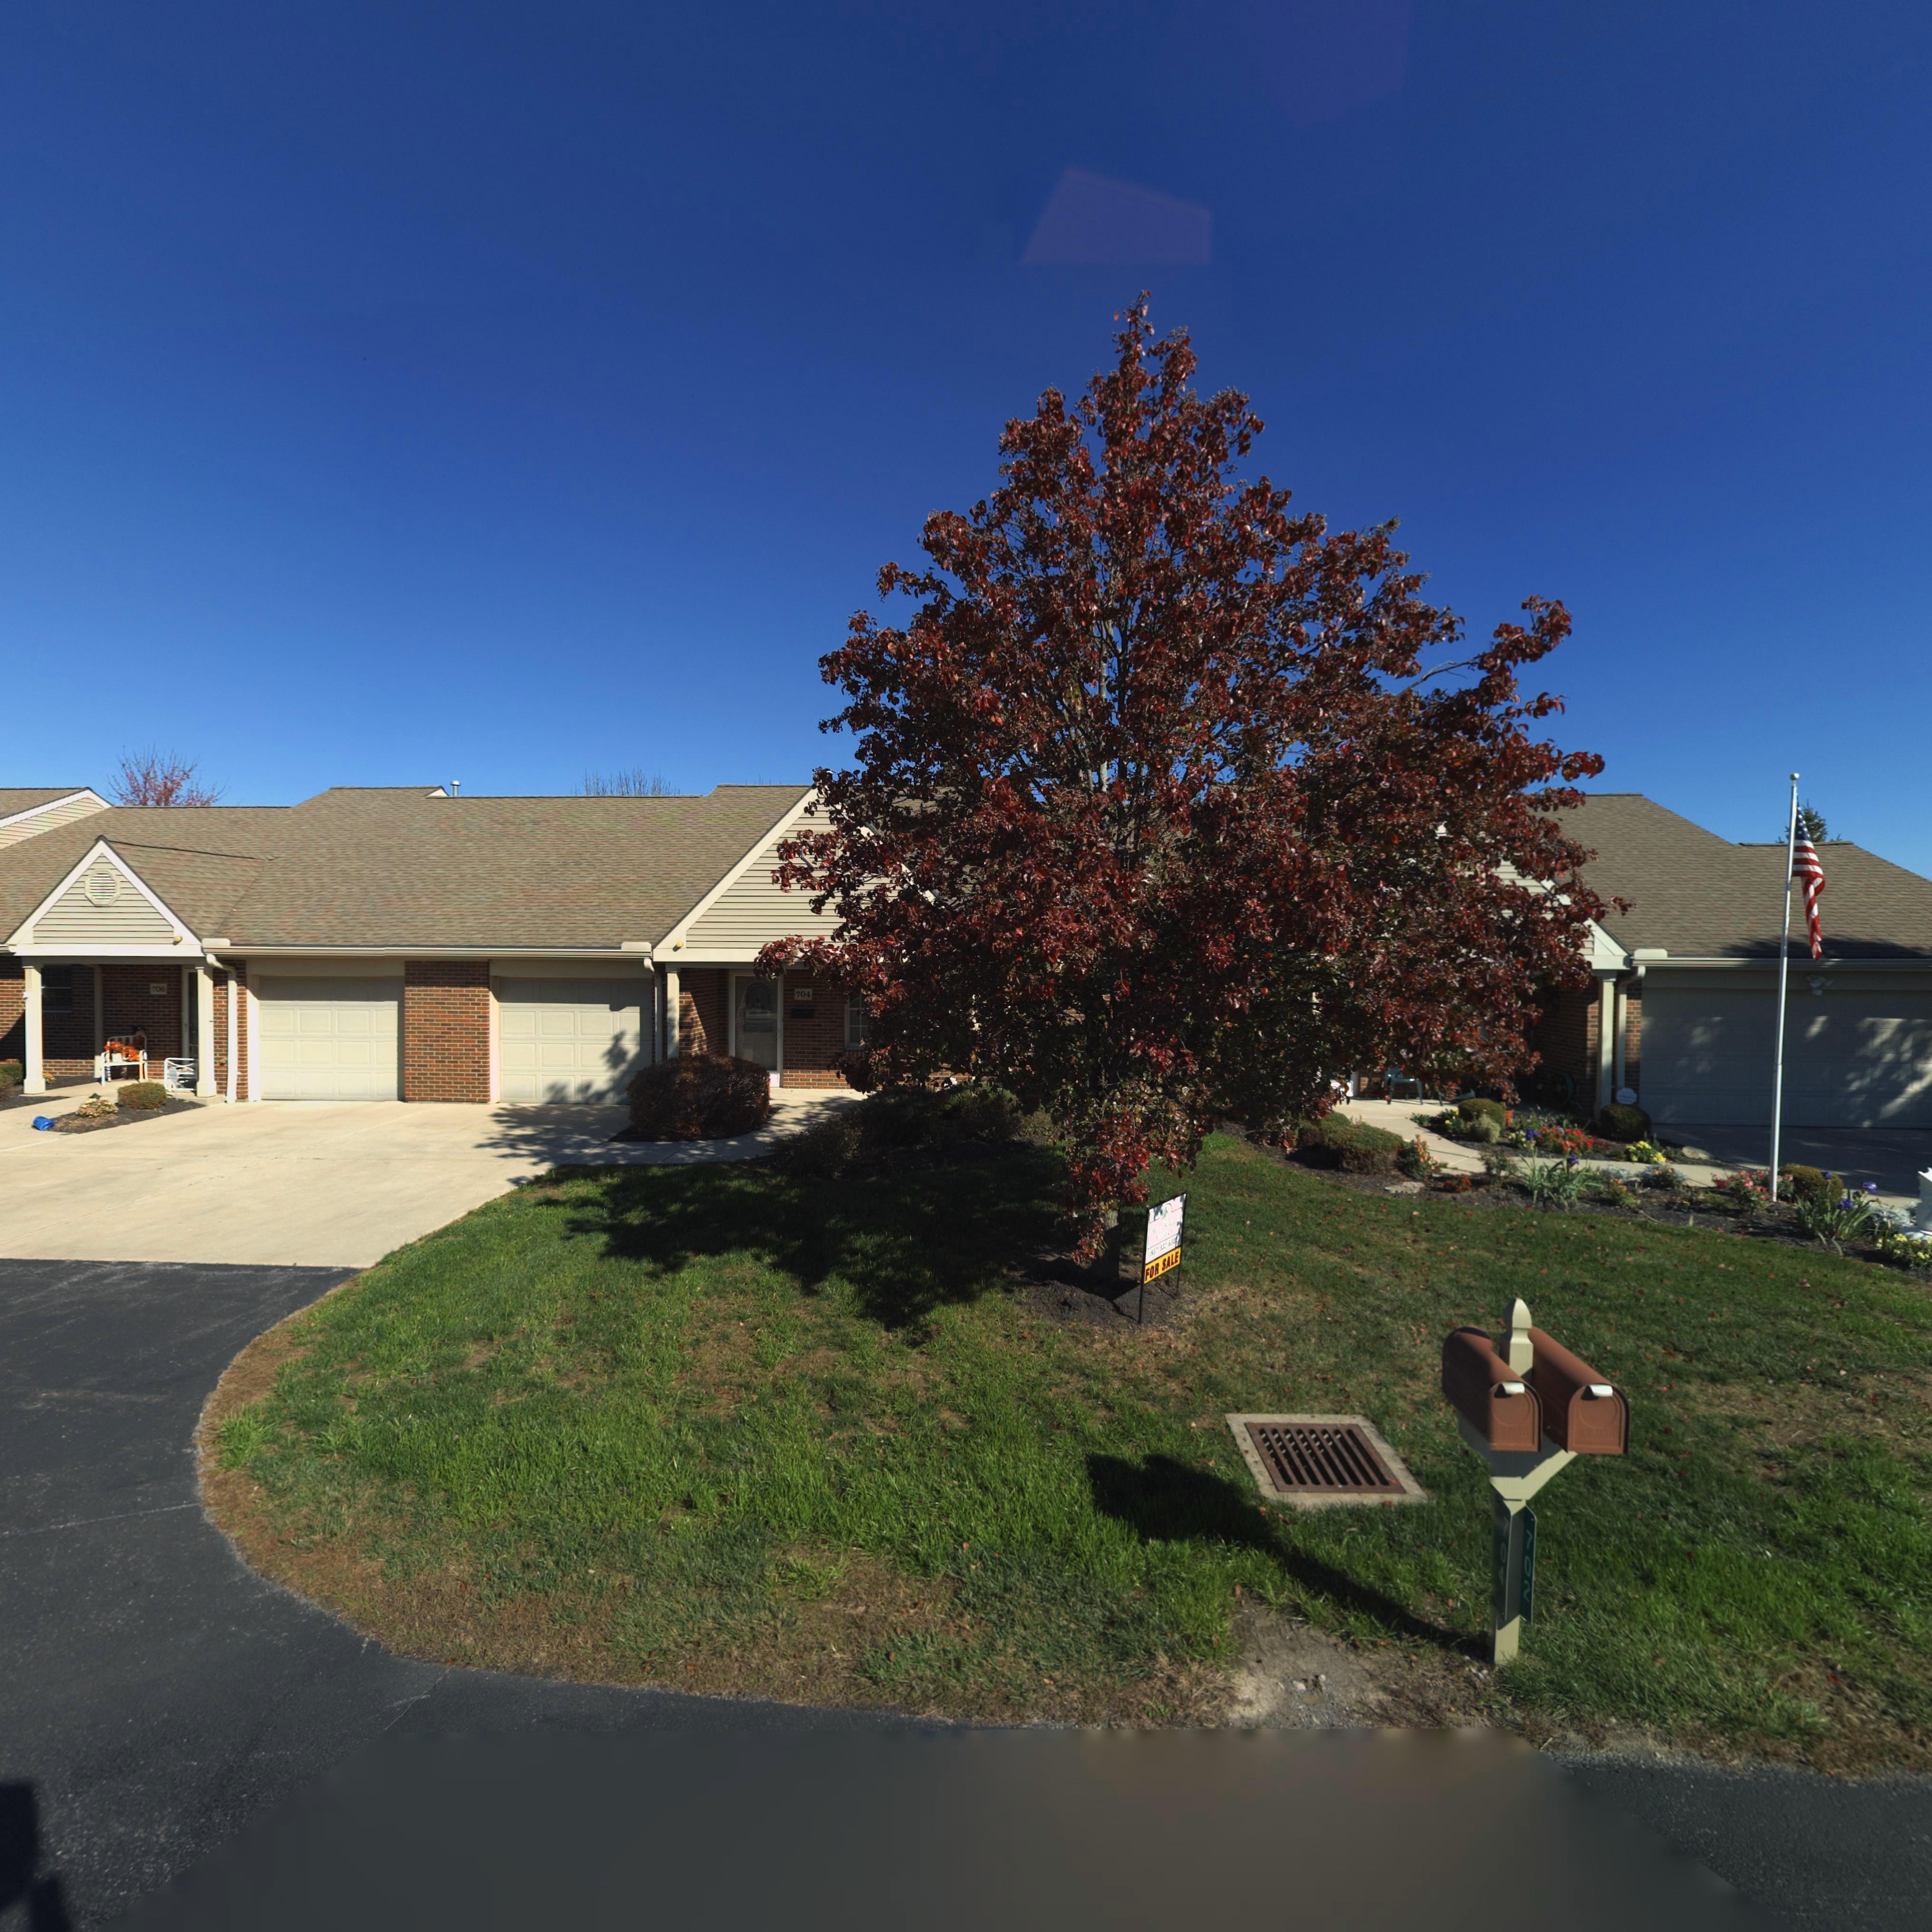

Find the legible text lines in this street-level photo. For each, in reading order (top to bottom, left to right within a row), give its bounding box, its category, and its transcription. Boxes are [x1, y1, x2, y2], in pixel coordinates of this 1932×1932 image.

[151, 985, 165, 993] StreetNumber: 706
[795, 991, 811, 998] StreetNumber: 704
[1145, 1248, 1179, 1282] None: FOR SALE
[1497, 1514, 1510, 1586] StreetNumber: 704
[1523, 1526, 1534, 1604] StreetNumber: 702